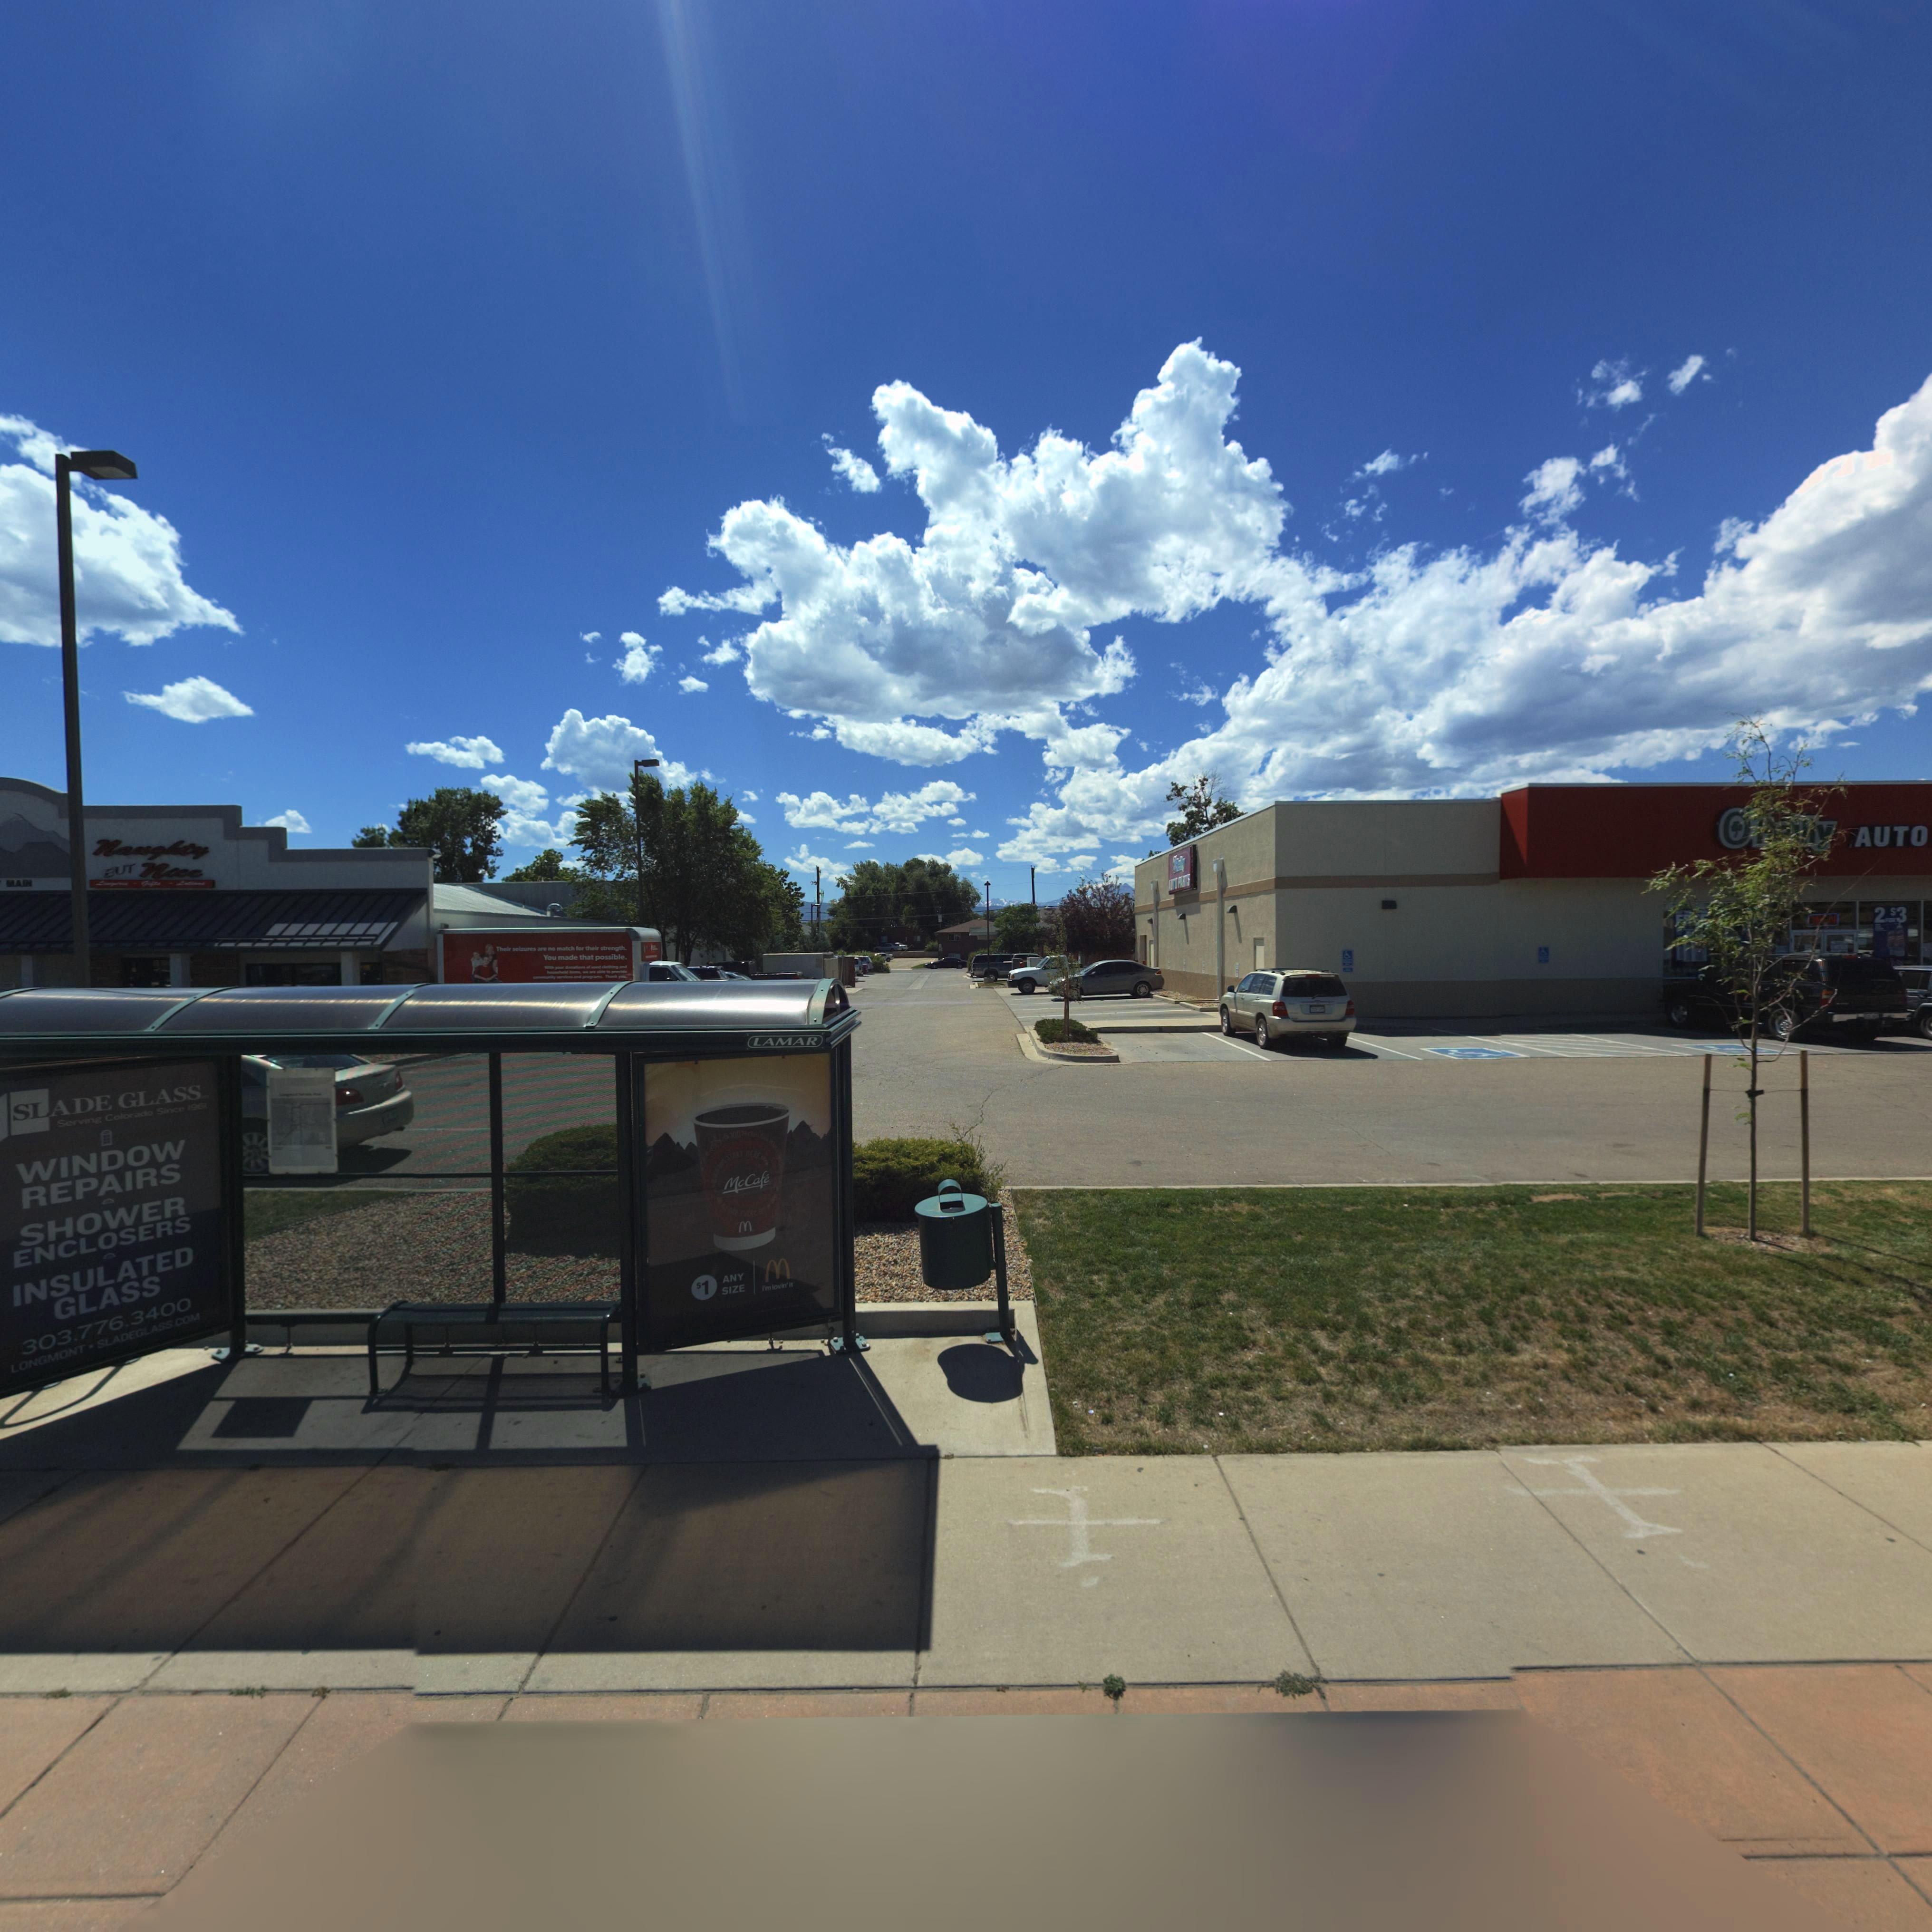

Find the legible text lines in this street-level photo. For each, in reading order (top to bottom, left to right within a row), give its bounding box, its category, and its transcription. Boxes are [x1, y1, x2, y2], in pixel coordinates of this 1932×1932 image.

[1721, 808, 1835, 849] BusinessName: O'***lly
[1854, 826, 1927, 847] BusinessName: AUTO *****
[92, 838, 211, 860] BusinessName: Naughty
[104, 863, 135, 878] BusinessName: BUT
[137, 862, 204, 879] BusinessName: Nice
[6, 879, 32, 887] StreetName: MAIN